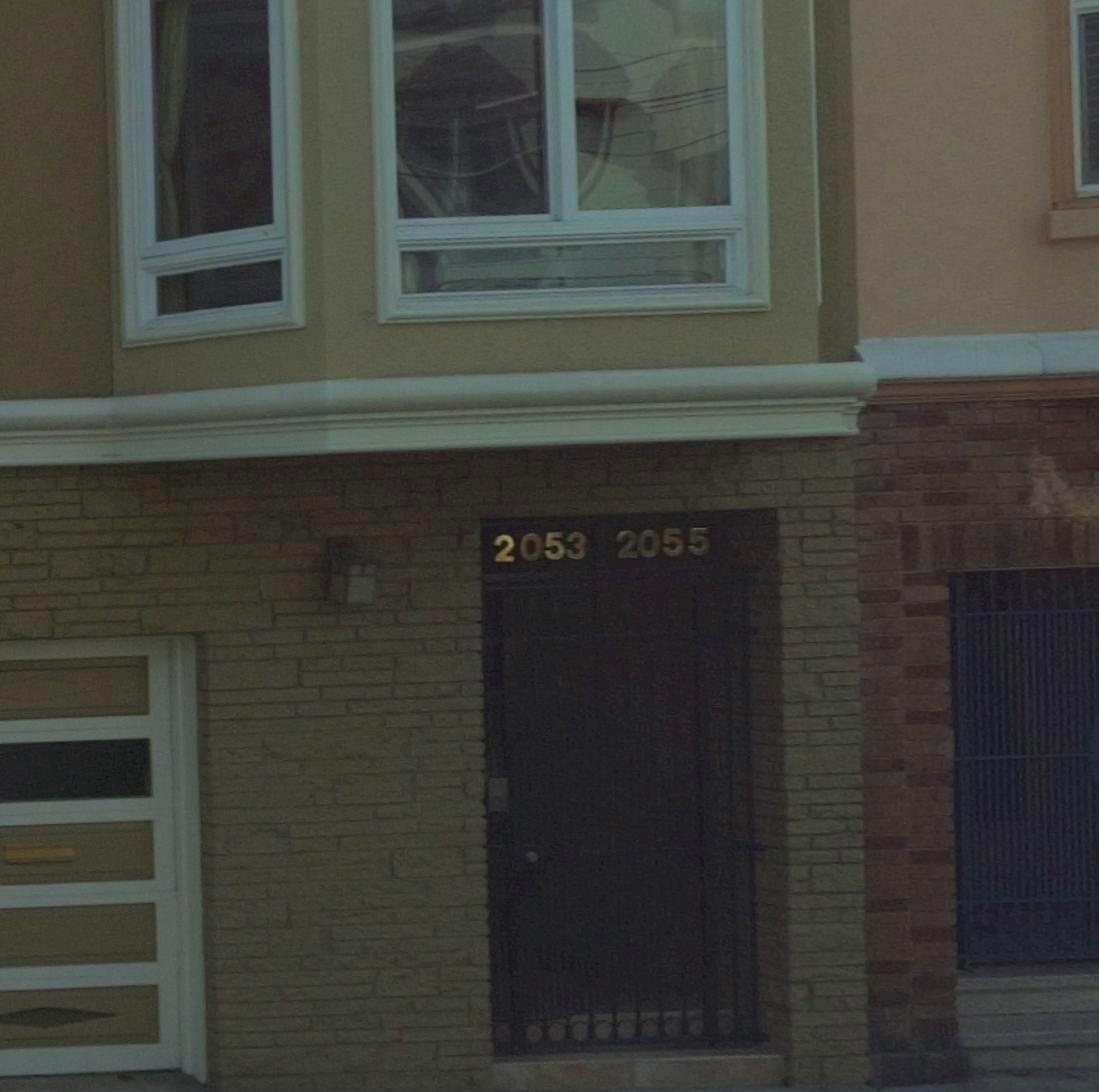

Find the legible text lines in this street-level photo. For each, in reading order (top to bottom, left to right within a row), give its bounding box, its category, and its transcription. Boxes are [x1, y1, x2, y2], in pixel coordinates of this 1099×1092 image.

[491, 529, 589, 566] StreetNumber: 2053
[614, 524, 714, 561] None: 2055